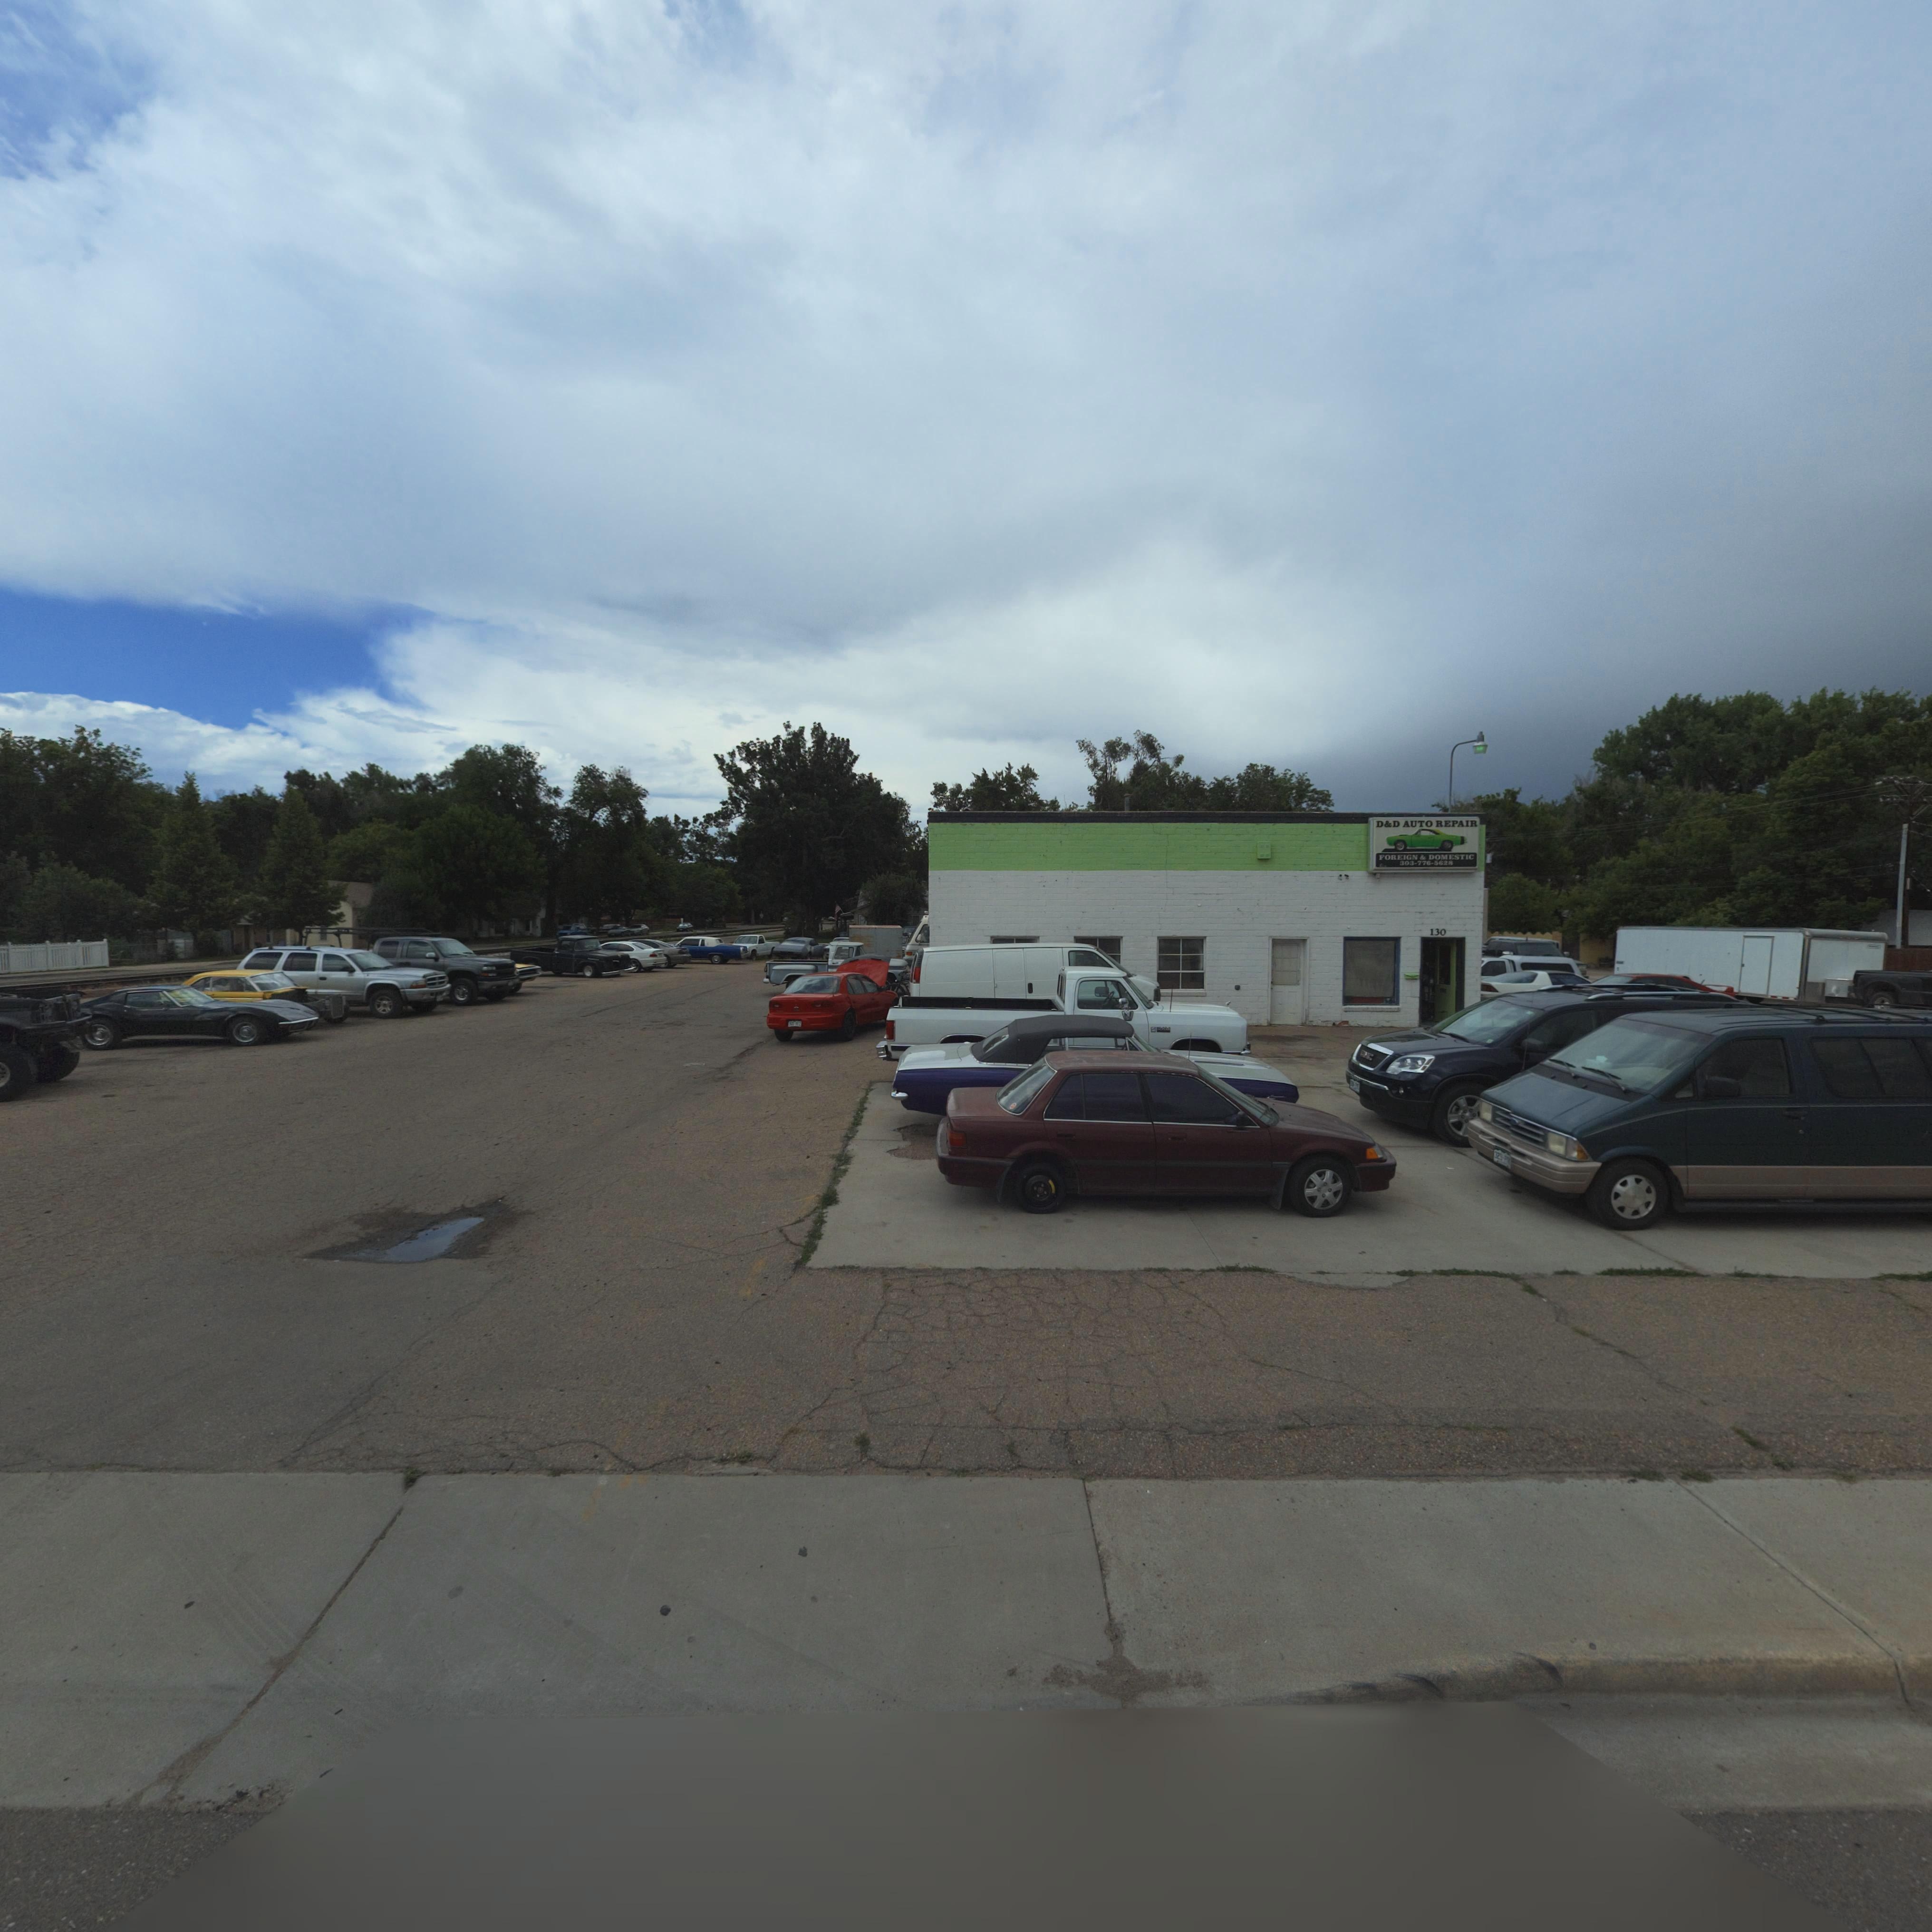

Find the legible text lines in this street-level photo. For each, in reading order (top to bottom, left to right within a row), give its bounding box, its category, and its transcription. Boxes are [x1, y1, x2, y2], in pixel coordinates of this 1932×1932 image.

[1375, 820, 1478, 828] BusinessName: D*D AUTO REPAIR
[1430, 927, 1446, 936] StreetNumber: 130